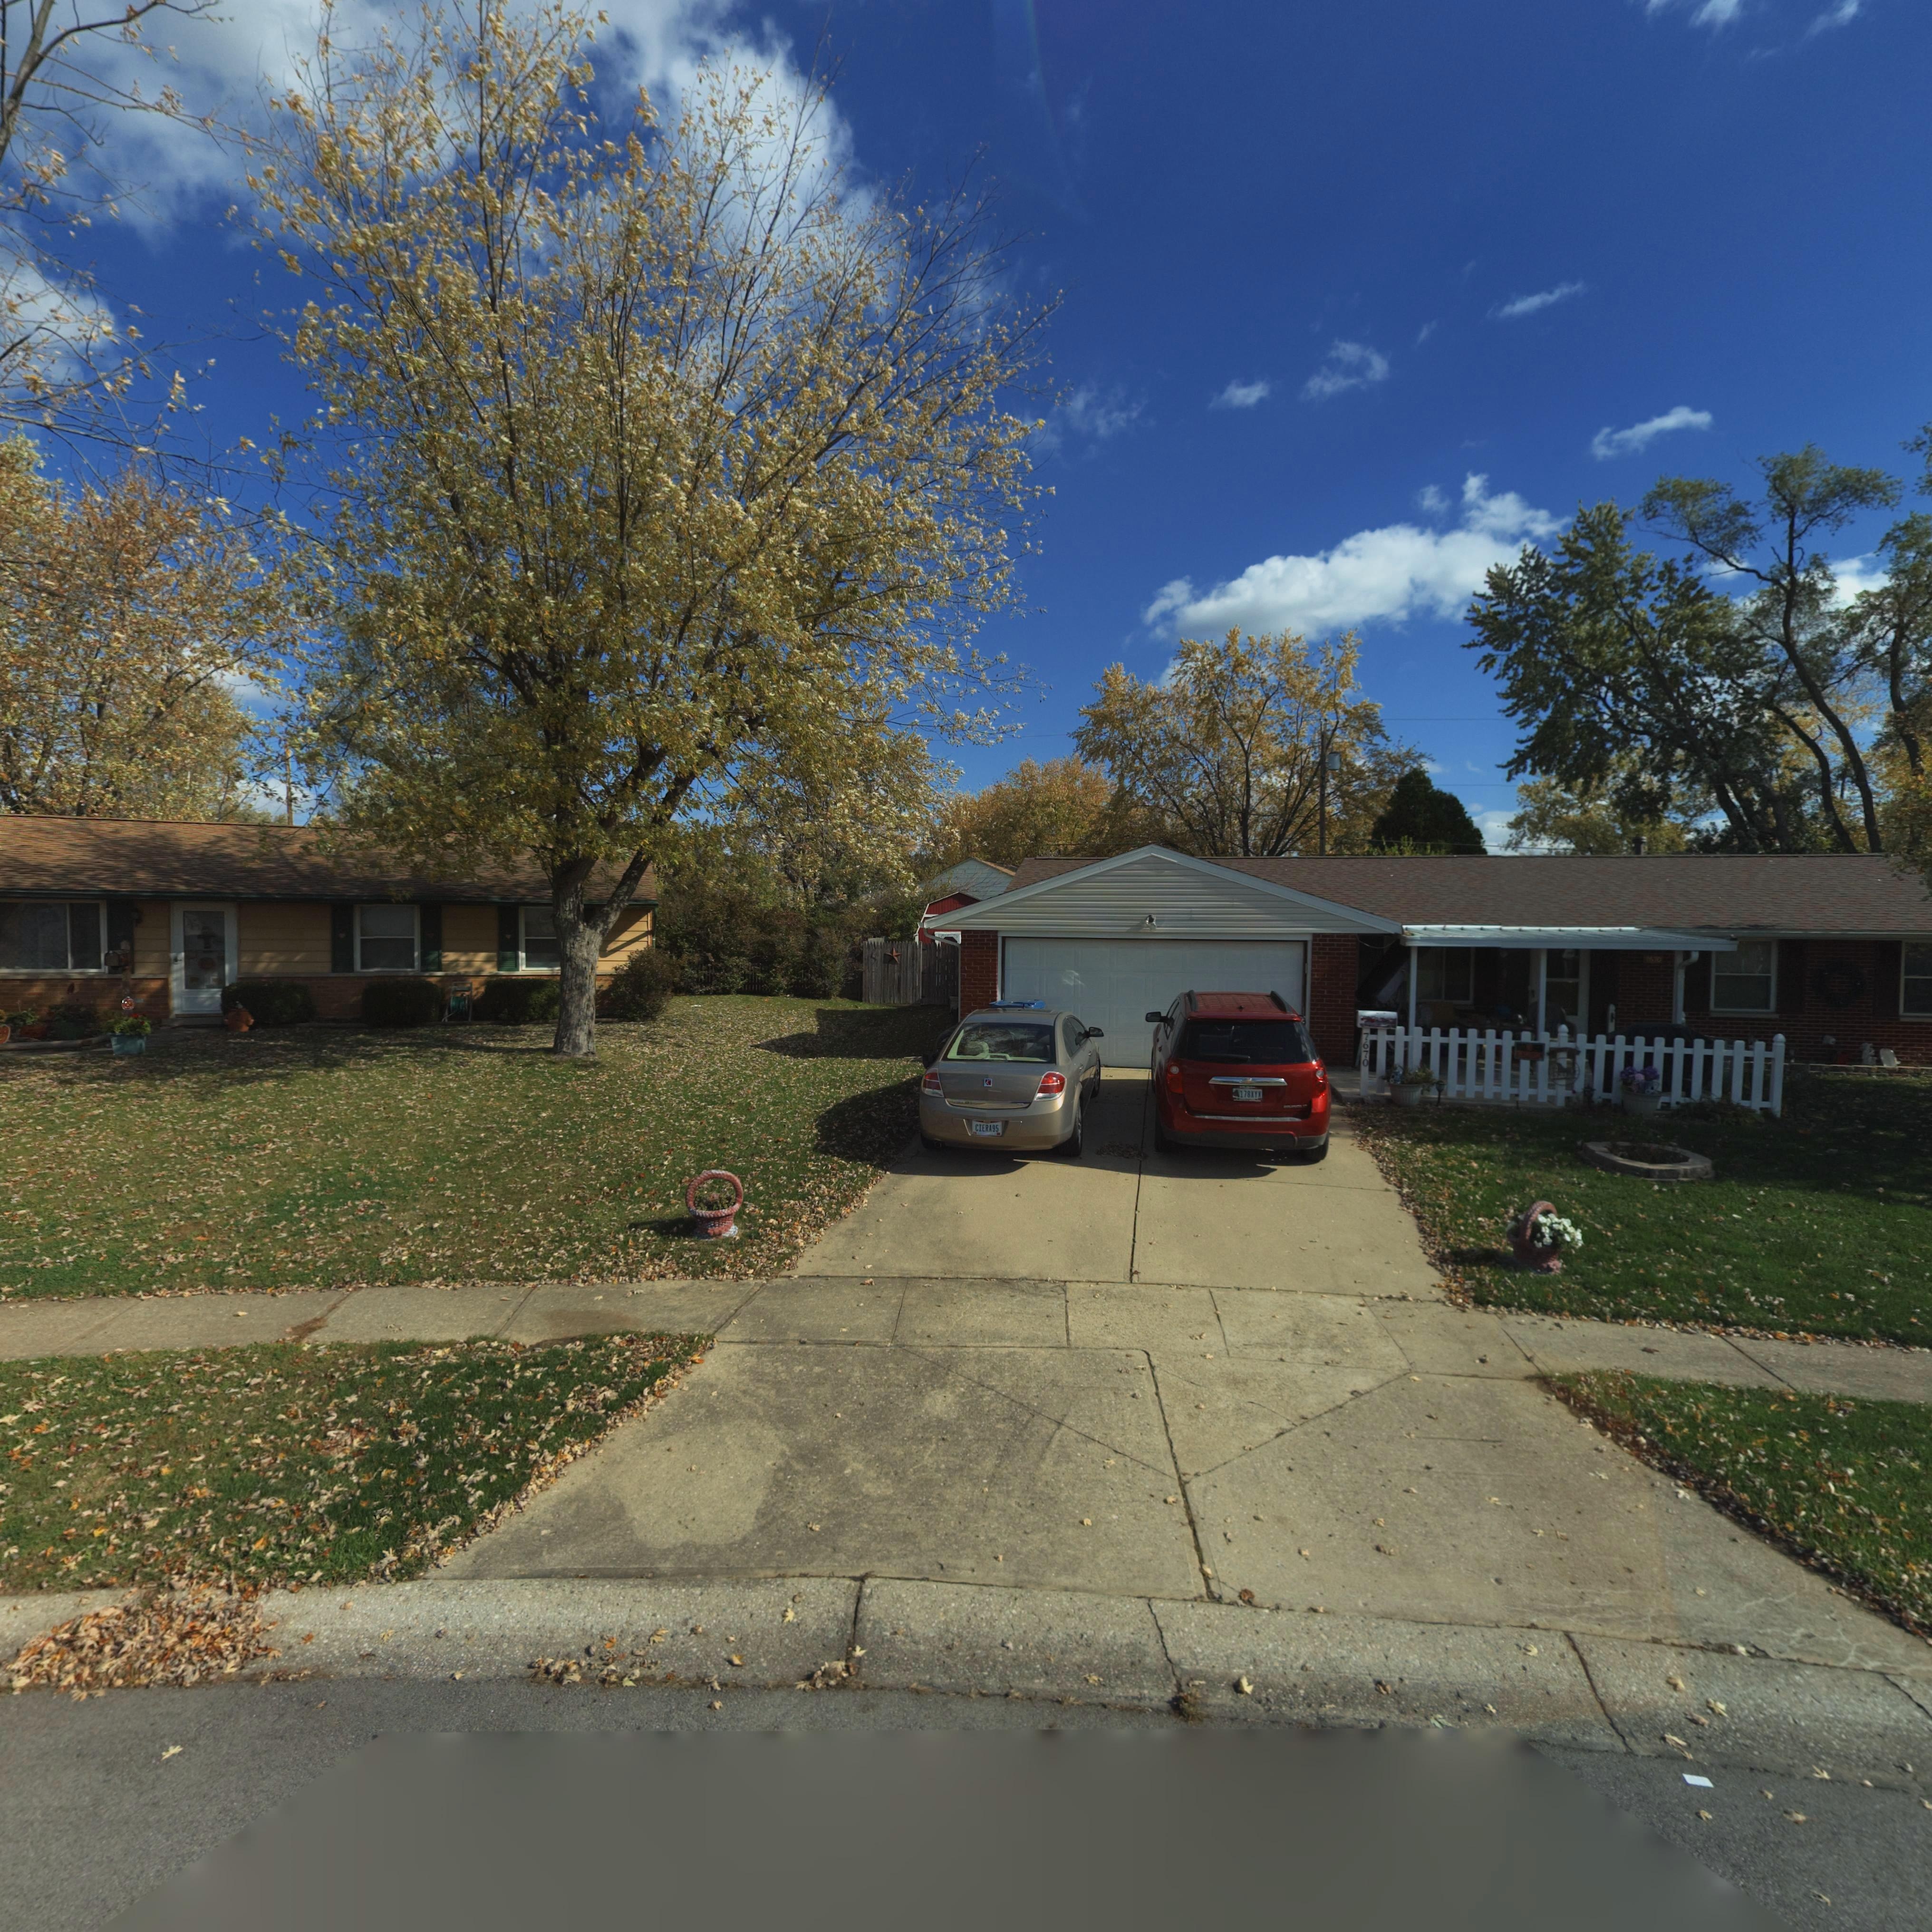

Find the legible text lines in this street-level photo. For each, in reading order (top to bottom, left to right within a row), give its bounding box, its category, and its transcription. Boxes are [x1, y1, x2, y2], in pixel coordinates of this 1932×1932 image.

[1645, 956, 1662, 963] StreetNumber: 7670
[123, 989, 128, 995] StreetNumber: 0
[1362, 1032, 1369, 1067] StreetNumber: 7670